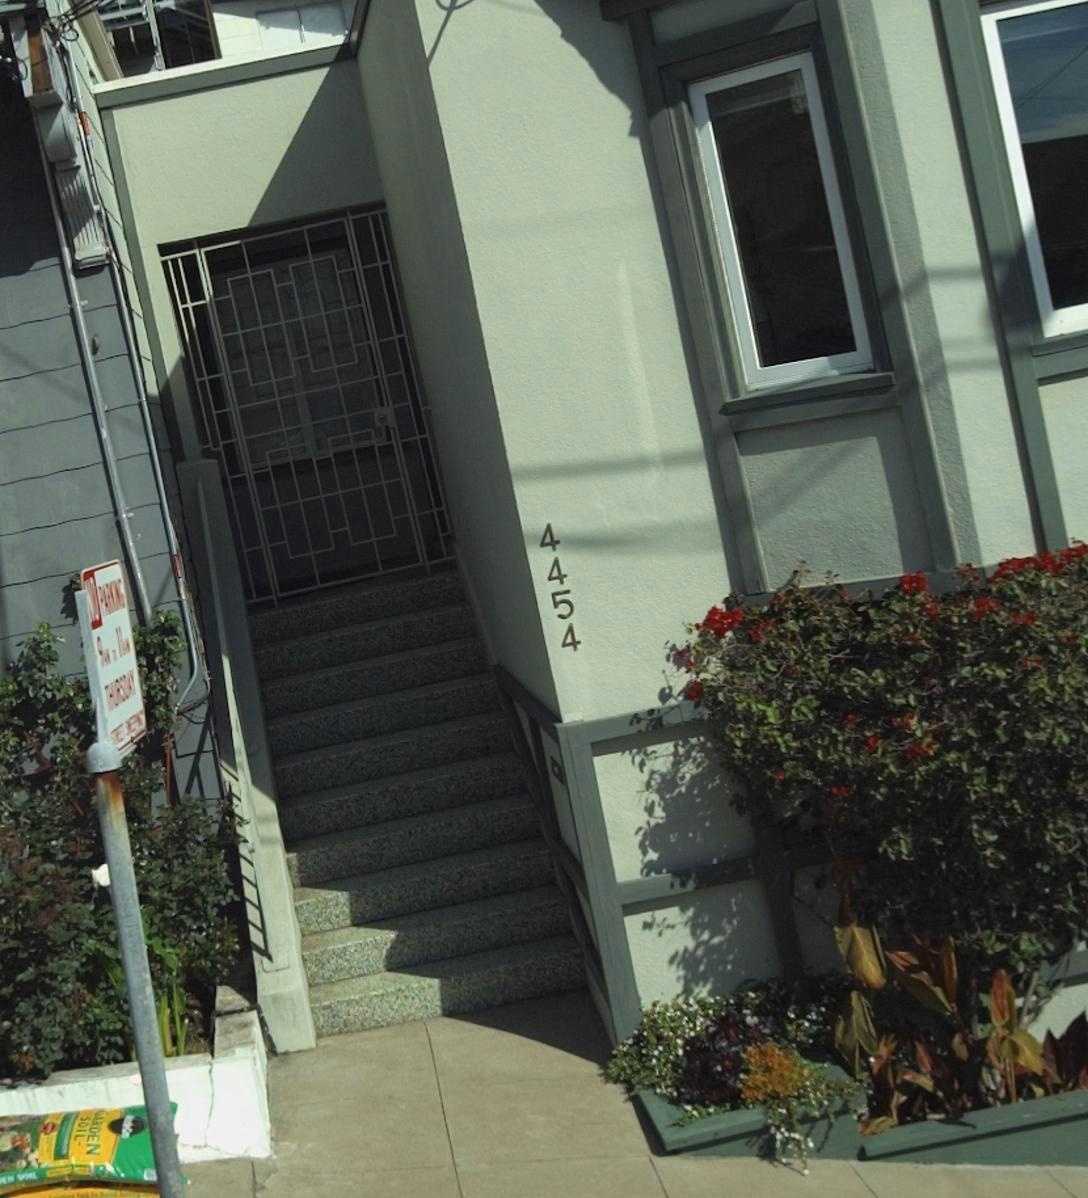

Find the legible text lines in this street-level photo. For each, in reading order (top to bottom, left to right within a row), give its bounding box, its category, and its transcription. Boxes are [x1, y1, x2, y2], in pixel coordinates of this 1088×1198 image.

[82, 576, 100, 624] None: NO
[96, 576, 128, 621] None: PARKING
[533, 517, 587, 656] StreetNumber: 4454
[94, 635, 109, 673] None: 9
[114, 625, 128, 657] None: 11
[103, 668, 141, 713] None: THURSDAY